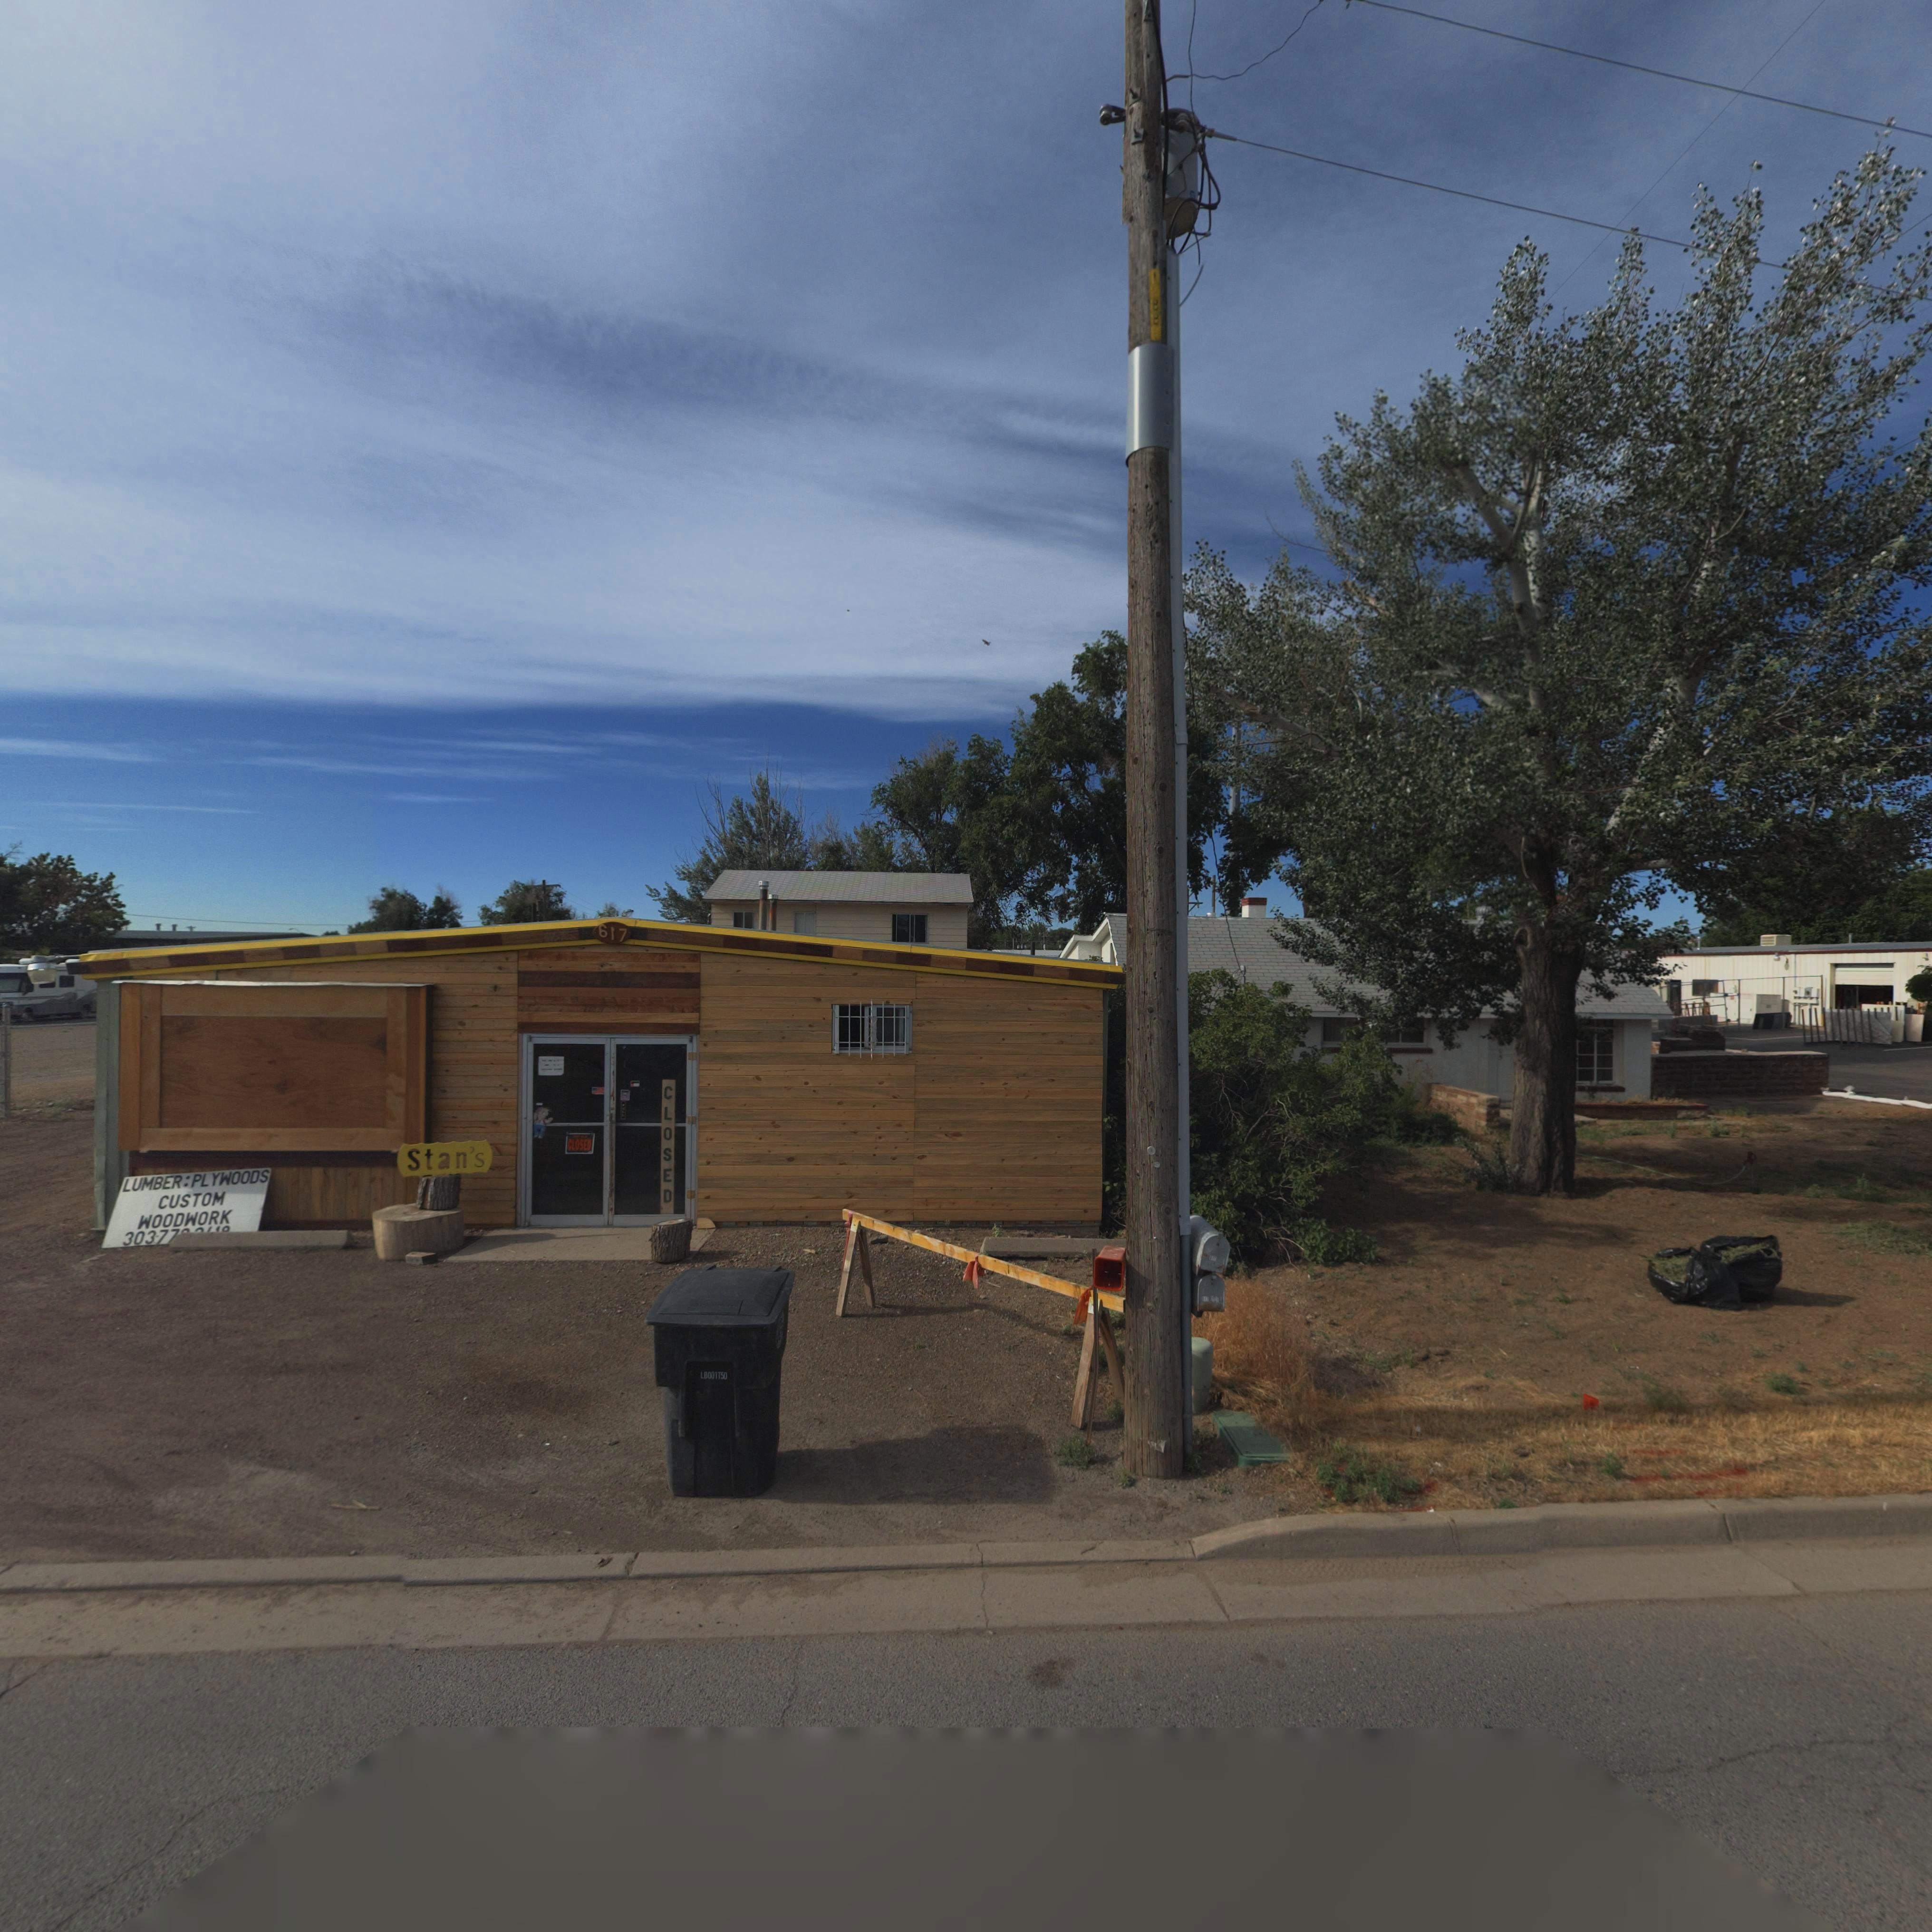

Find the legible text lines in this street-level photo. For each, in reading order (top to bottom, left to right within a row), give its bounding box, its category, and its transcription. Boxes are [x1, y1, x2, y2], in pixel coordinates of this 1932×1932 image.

[598, 923, 628, 942] StreetNumber: 617
[406, 1145, 487, 1171] BusinessName: Stan's